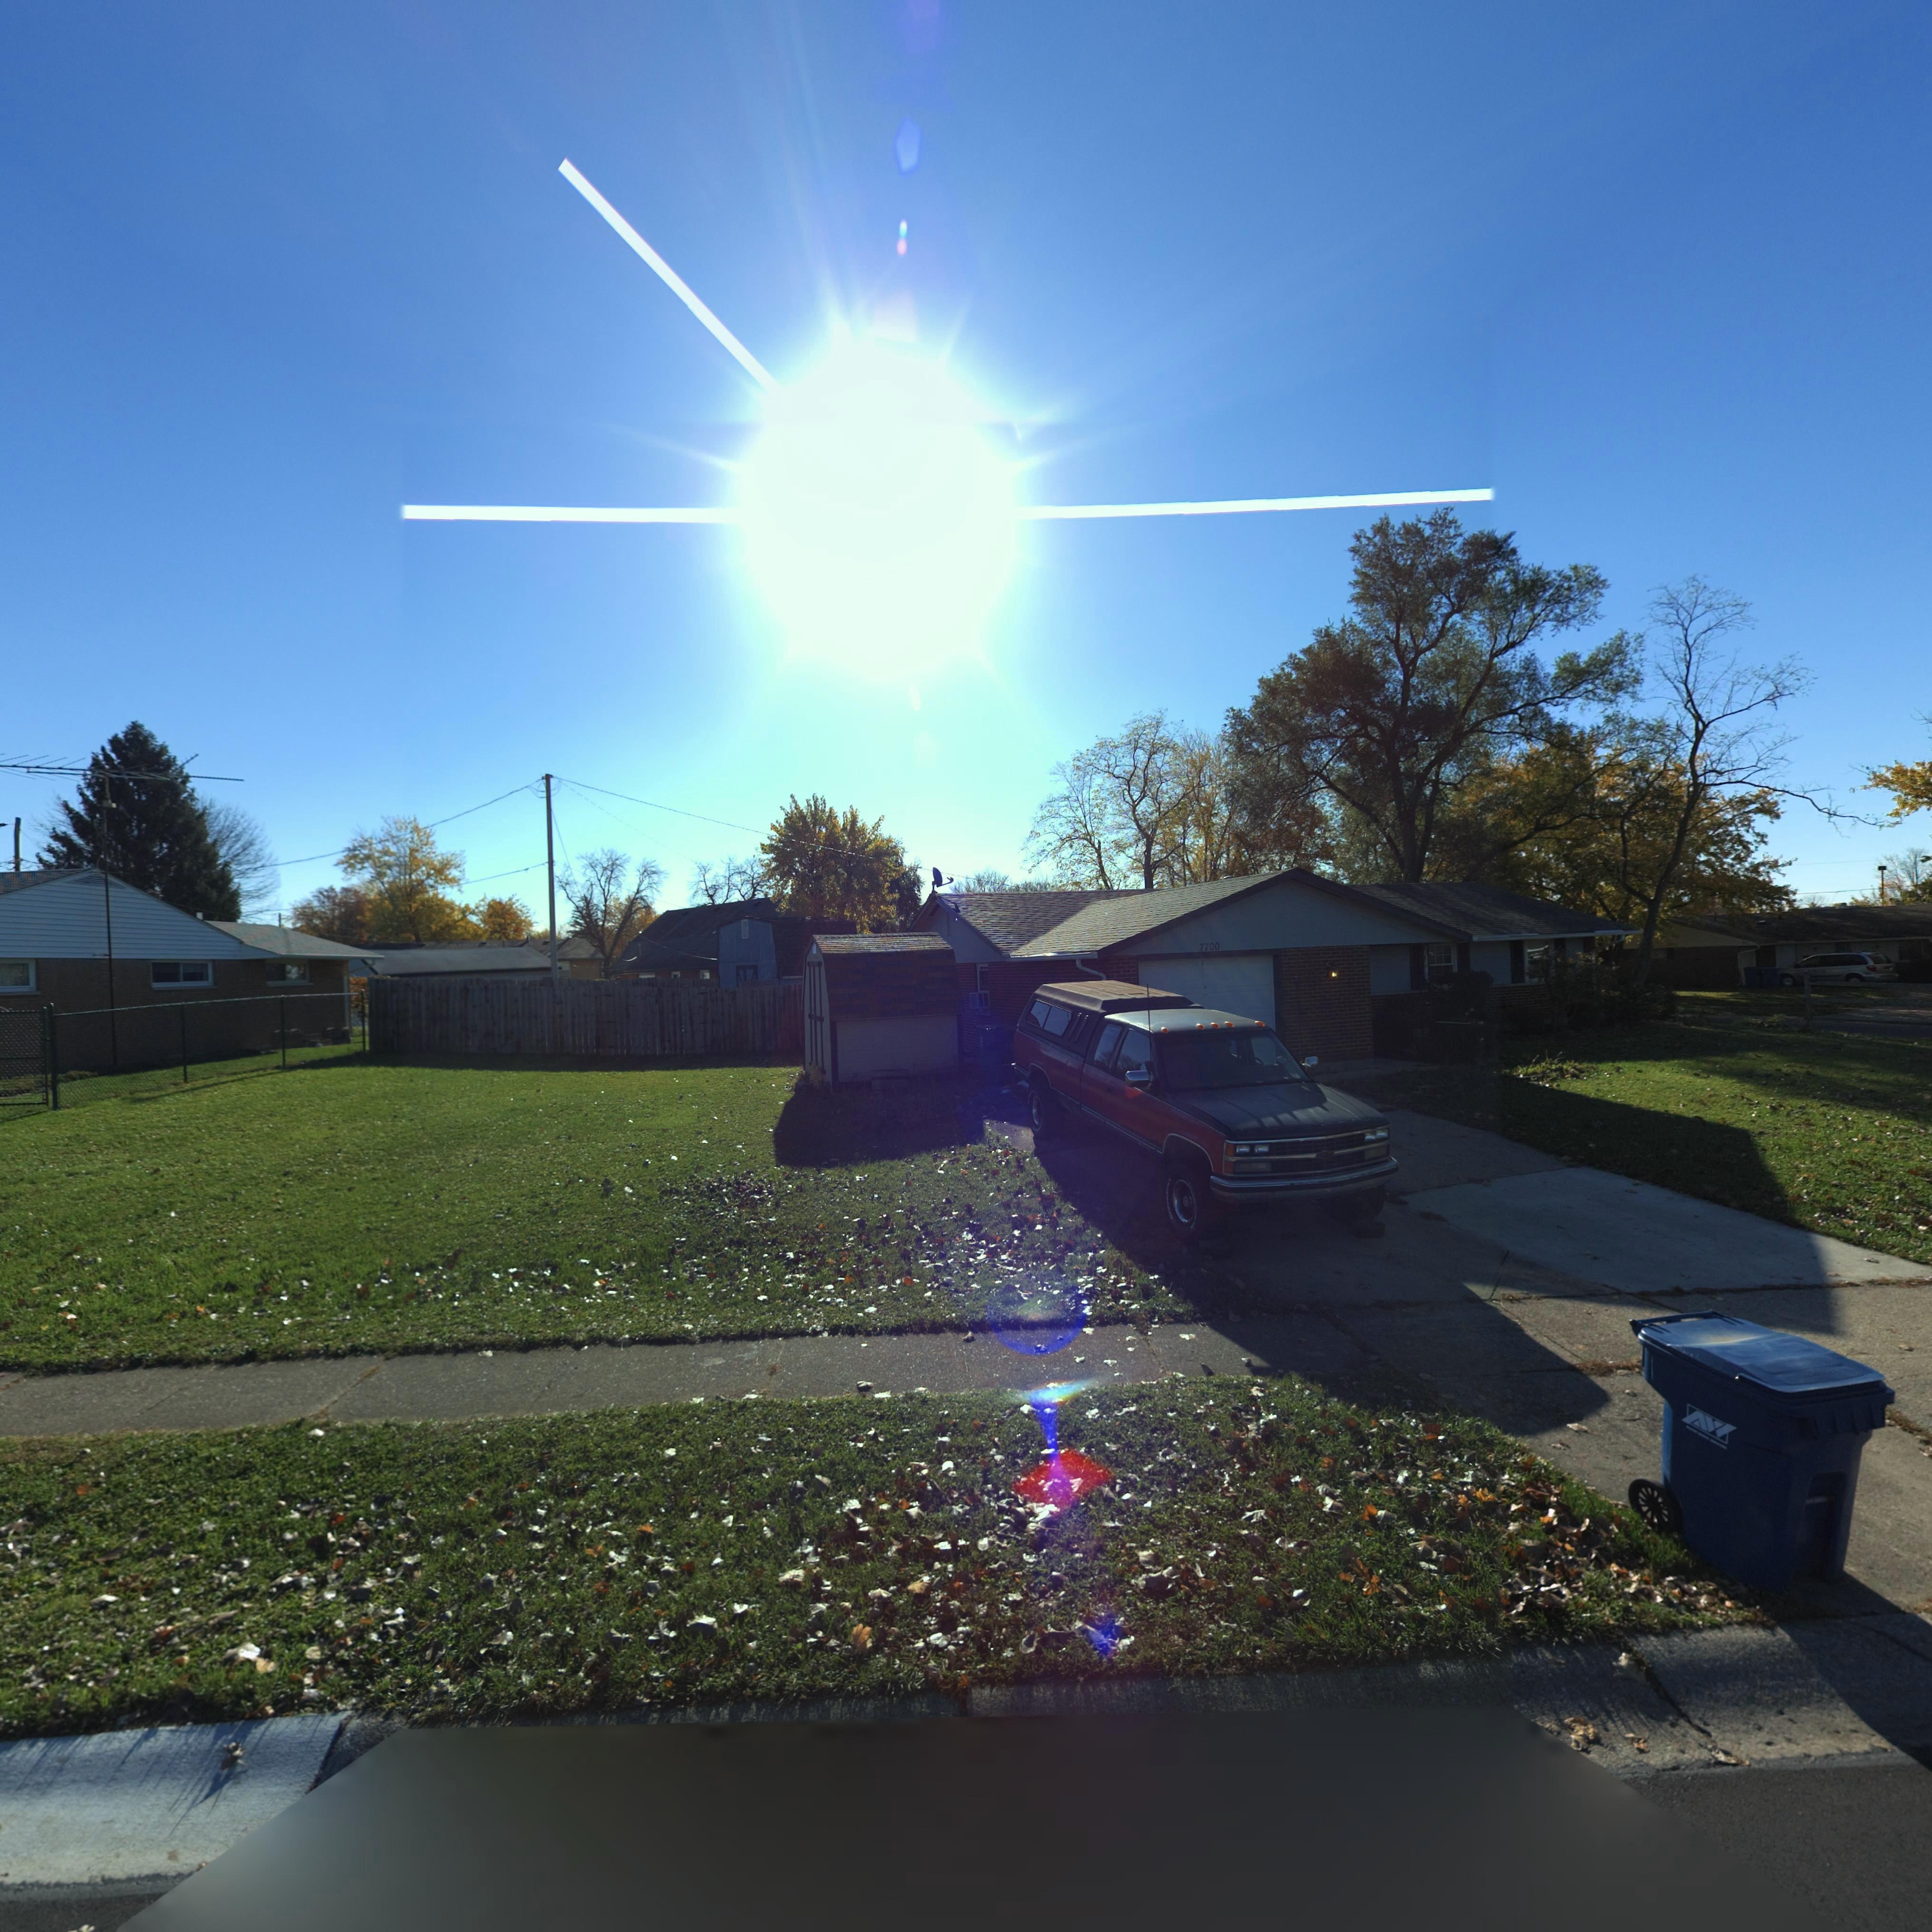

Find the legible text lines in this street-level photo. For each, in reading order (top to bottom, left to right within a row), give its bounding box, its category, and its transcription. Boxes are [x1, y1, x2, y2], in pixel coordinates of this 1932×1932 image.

[1199, 941, 1221, 953] StreetNumber: 7700